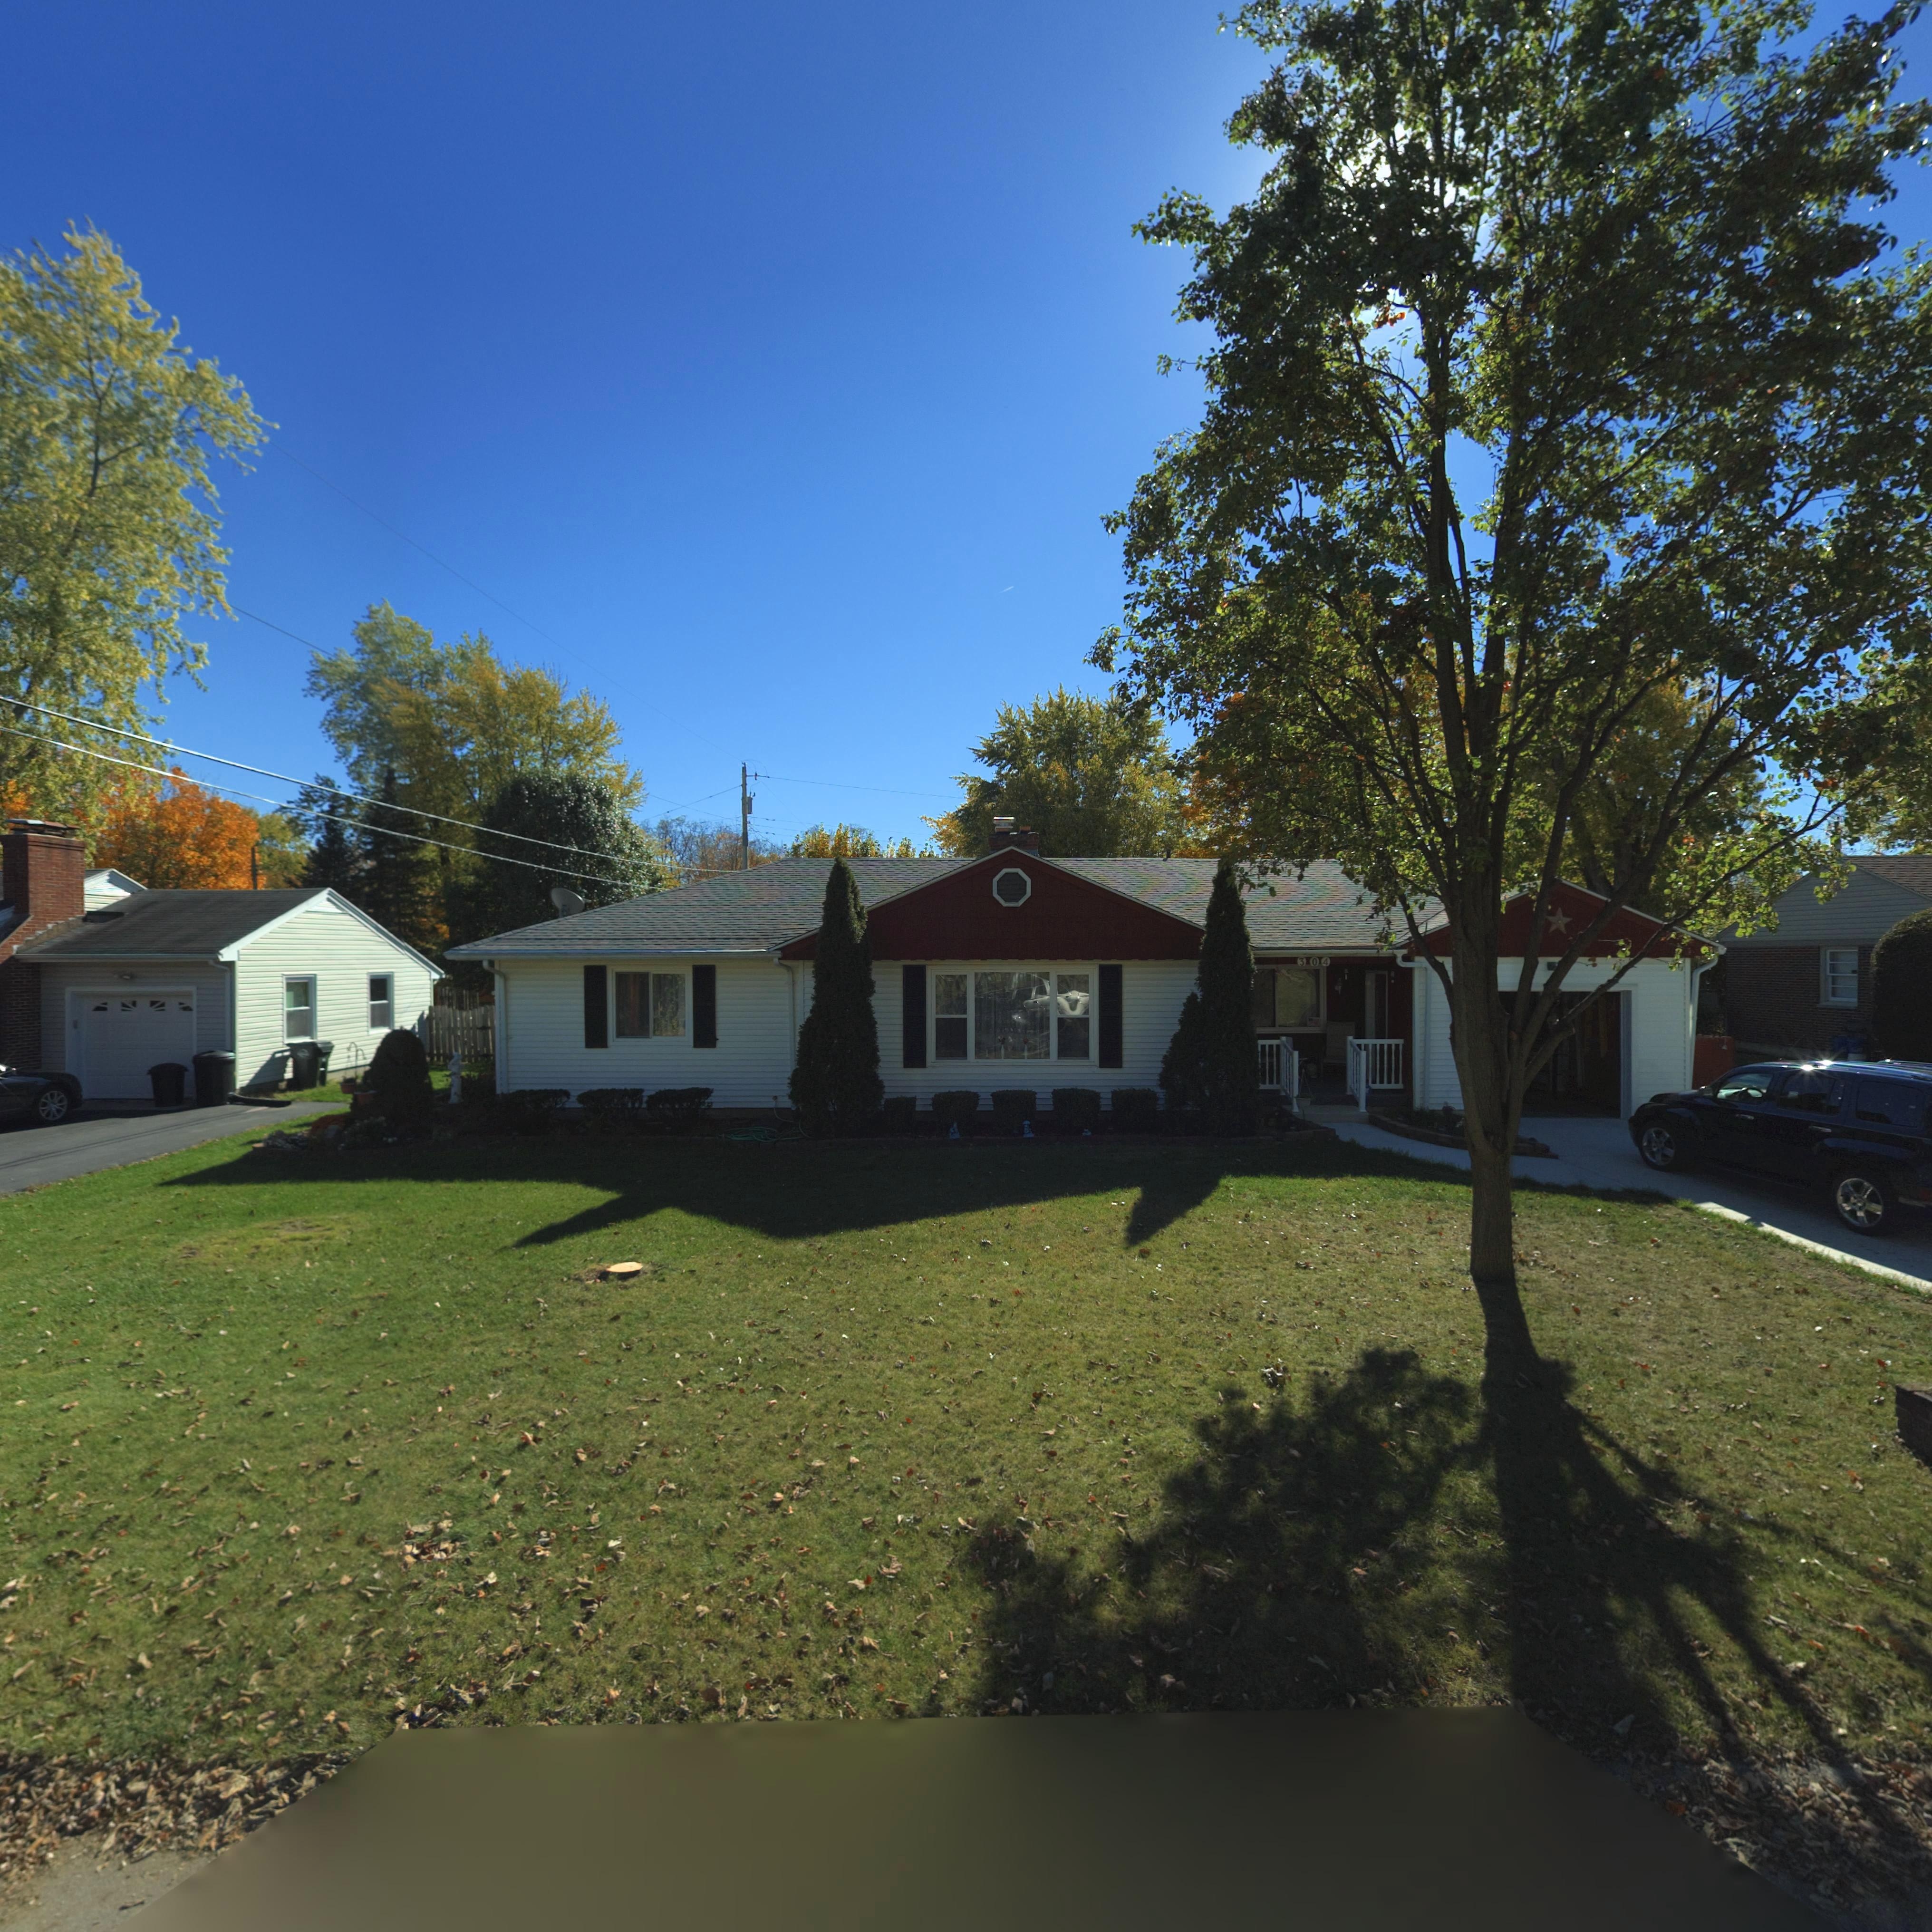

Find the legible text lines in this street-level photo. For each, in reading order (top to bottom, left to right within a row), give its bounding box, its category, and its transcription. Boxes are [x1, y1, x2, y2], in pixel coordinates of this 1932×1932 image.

[1298, 957, 1328, 966] StreetNumber: 304